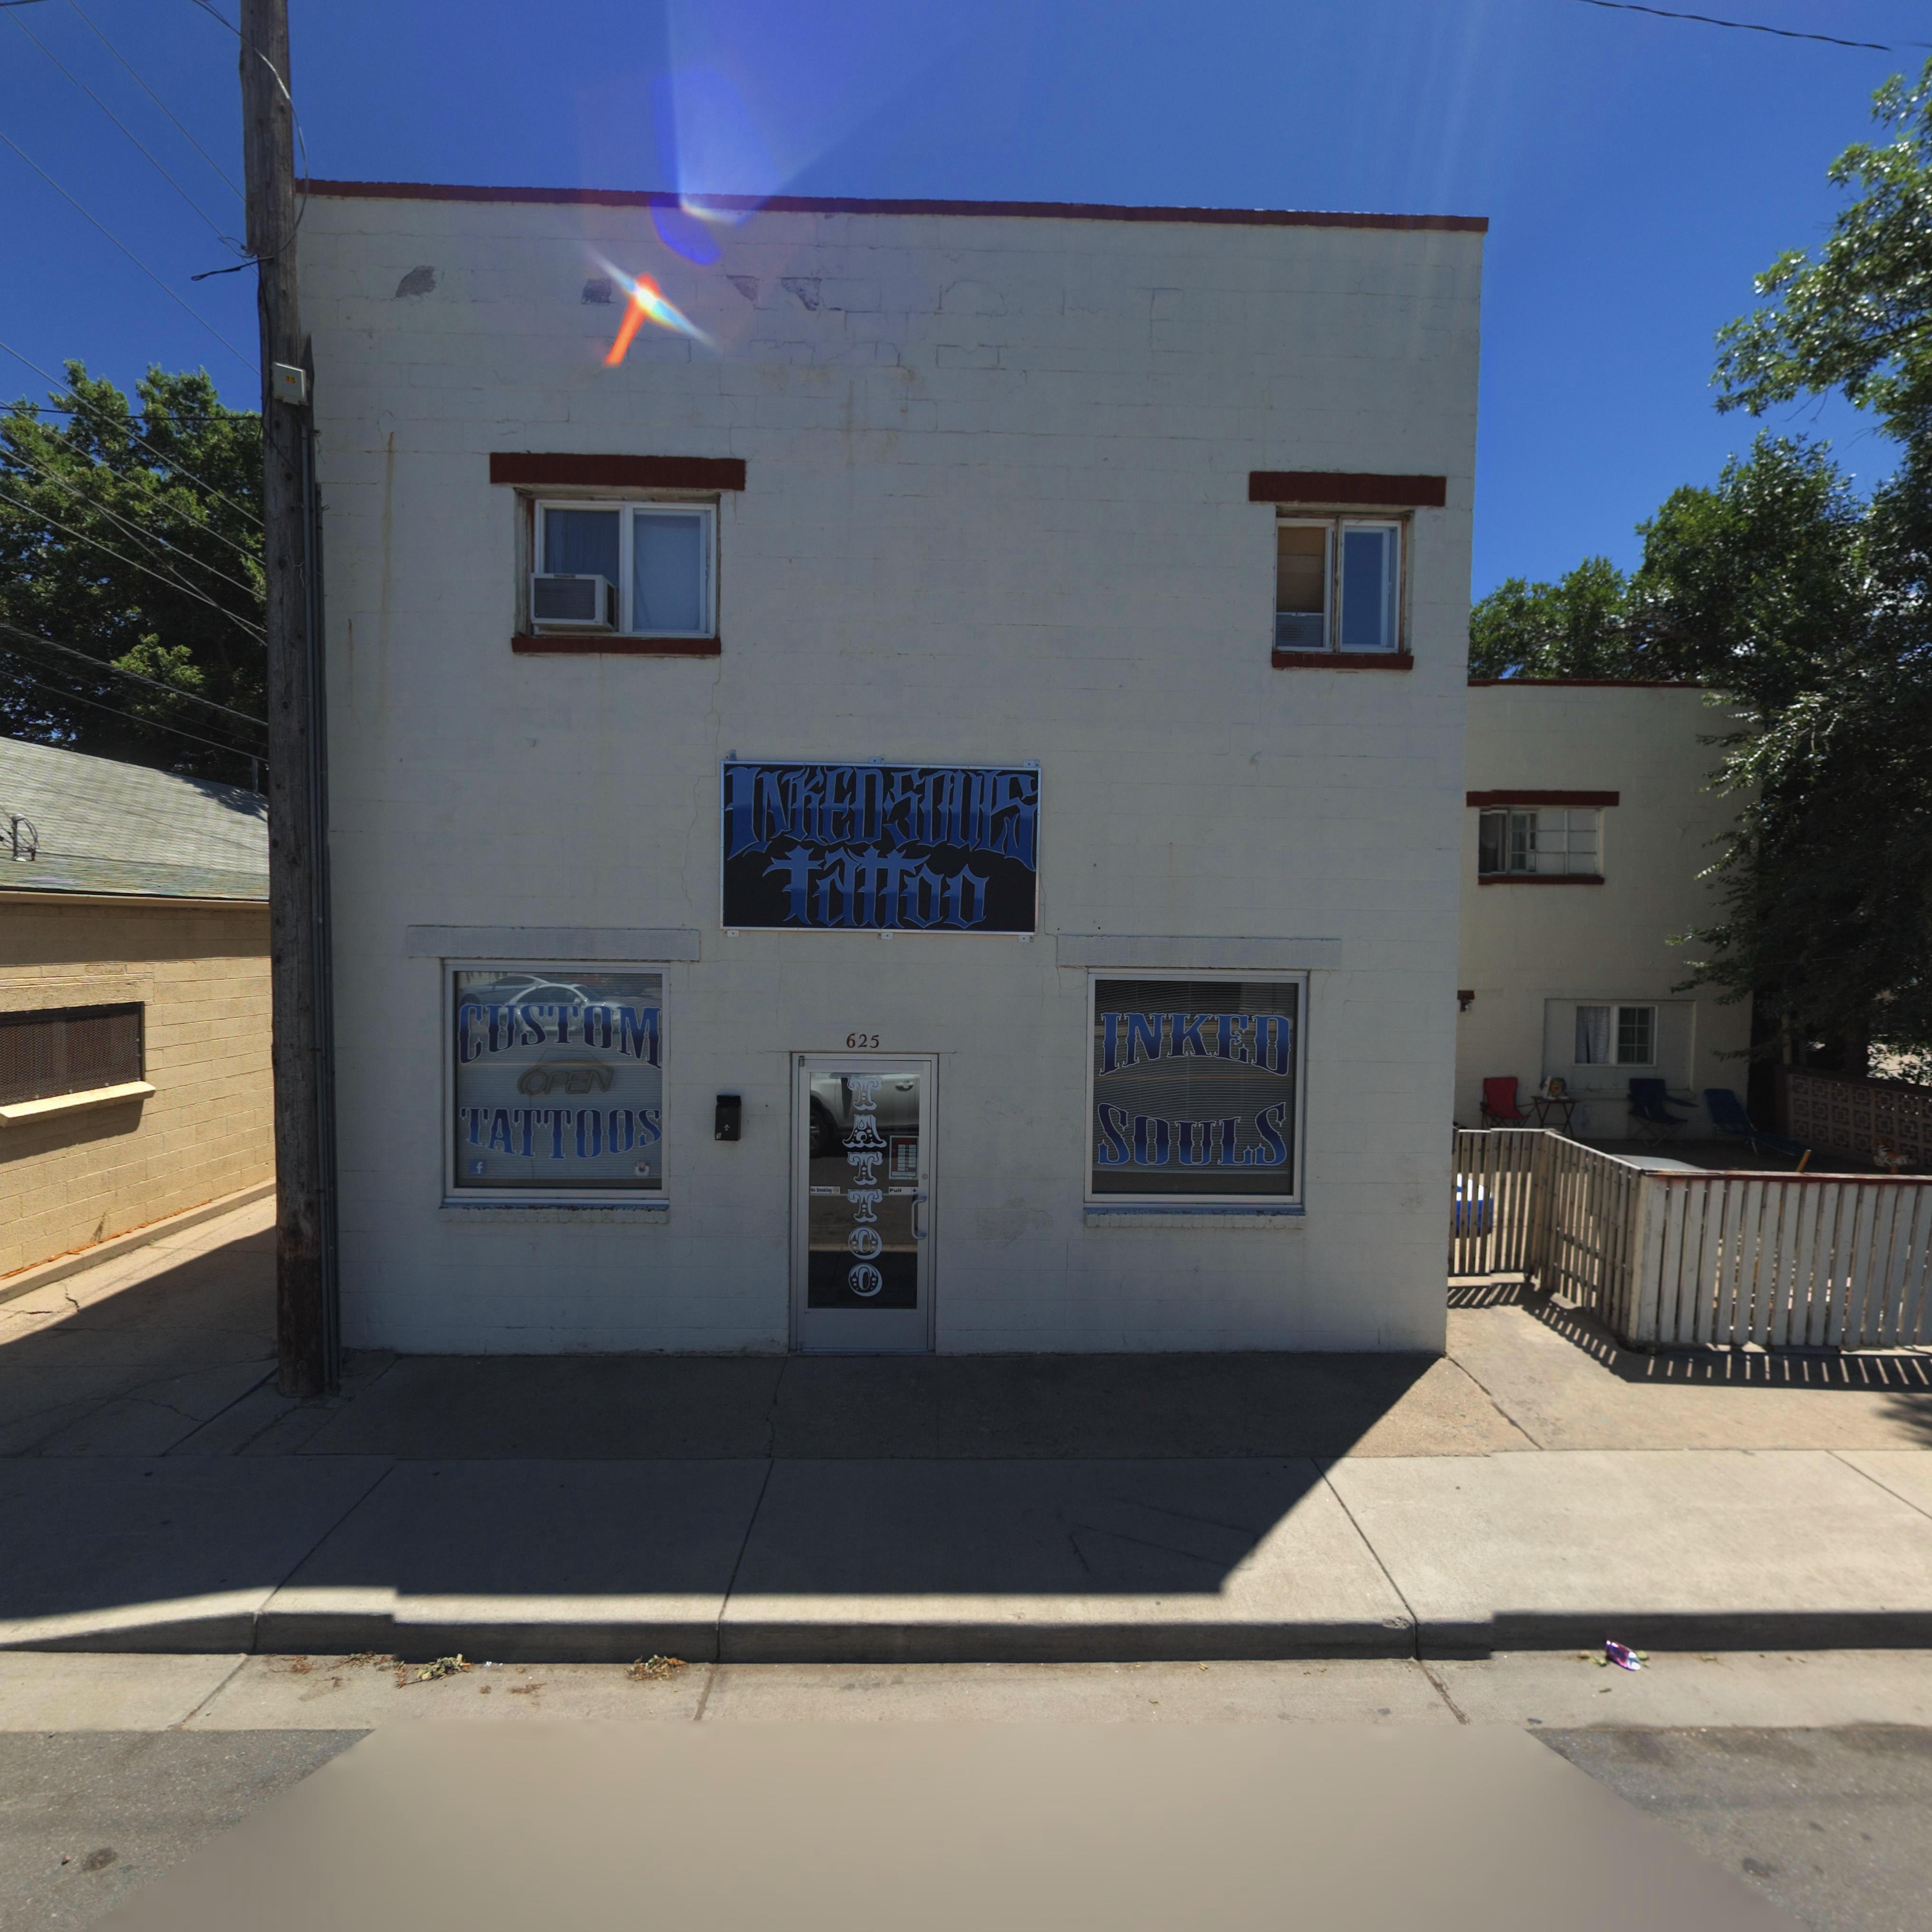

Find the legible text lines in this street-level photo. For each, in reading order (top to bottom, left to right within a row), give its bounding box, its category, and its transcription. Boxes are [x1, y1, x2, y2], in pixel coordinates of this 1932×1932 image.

[724, 764, 1038, 872] BusinessName: INKEDSOULS
[761, 843, 990, 929] BusinessName: tattoo
[845, 1033, 880, 1049] StreetNumber: 625
[1097, 1011, 1291, 1077] BusinessName: INKED
[1096, 1101, 1288, 1167] BusinessName: SOULS
[841, 1075, 887, 1297] BusinessName: TATTOO